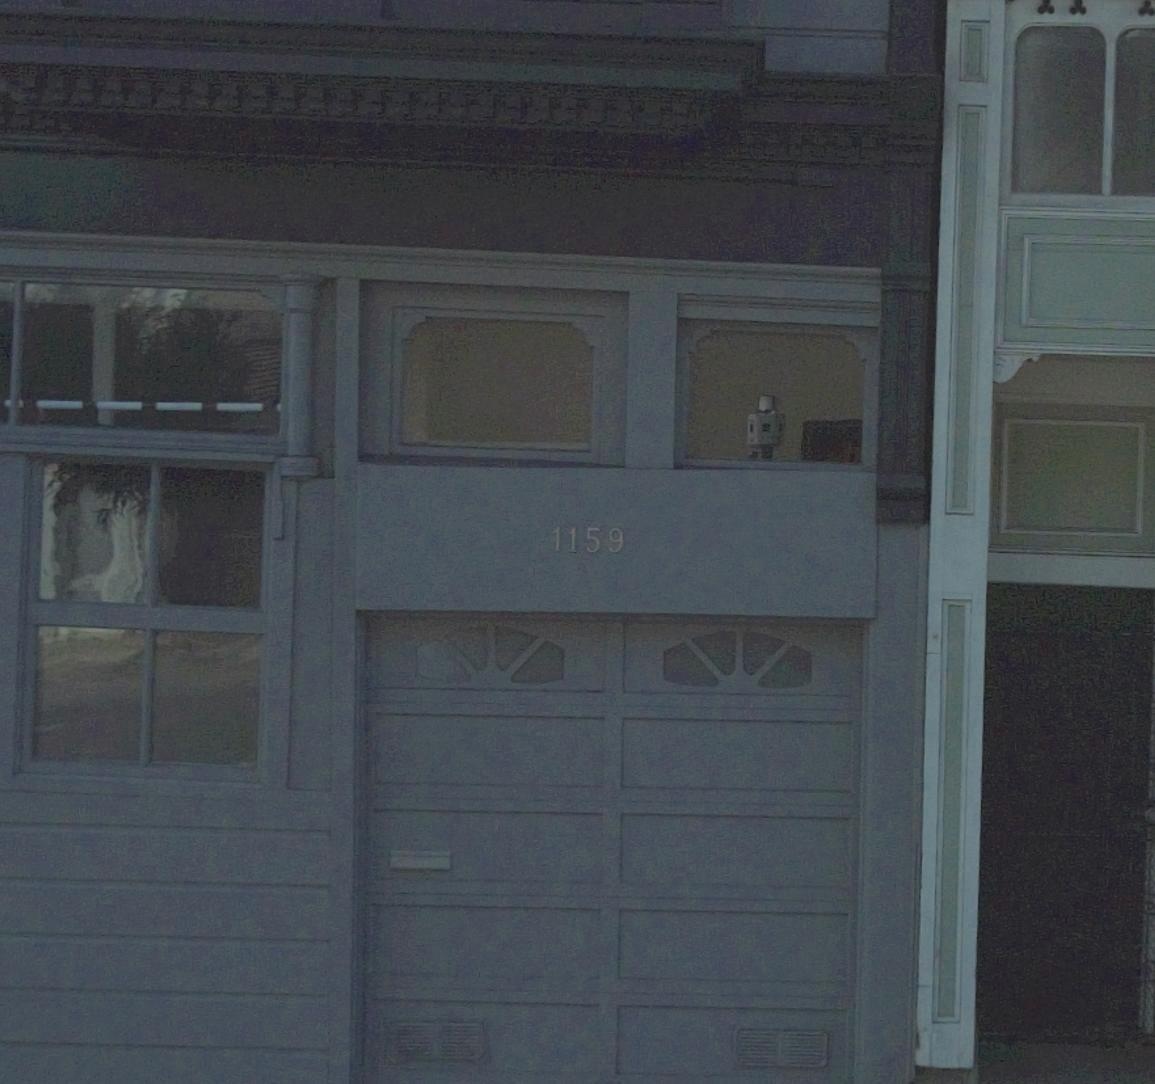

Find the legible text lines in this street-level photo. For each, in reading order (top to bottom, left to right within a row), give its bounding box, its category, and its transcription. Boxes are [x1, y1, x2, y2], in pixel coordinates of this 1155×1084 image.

[551, 524, 625, 555] StreetNumber: 1159